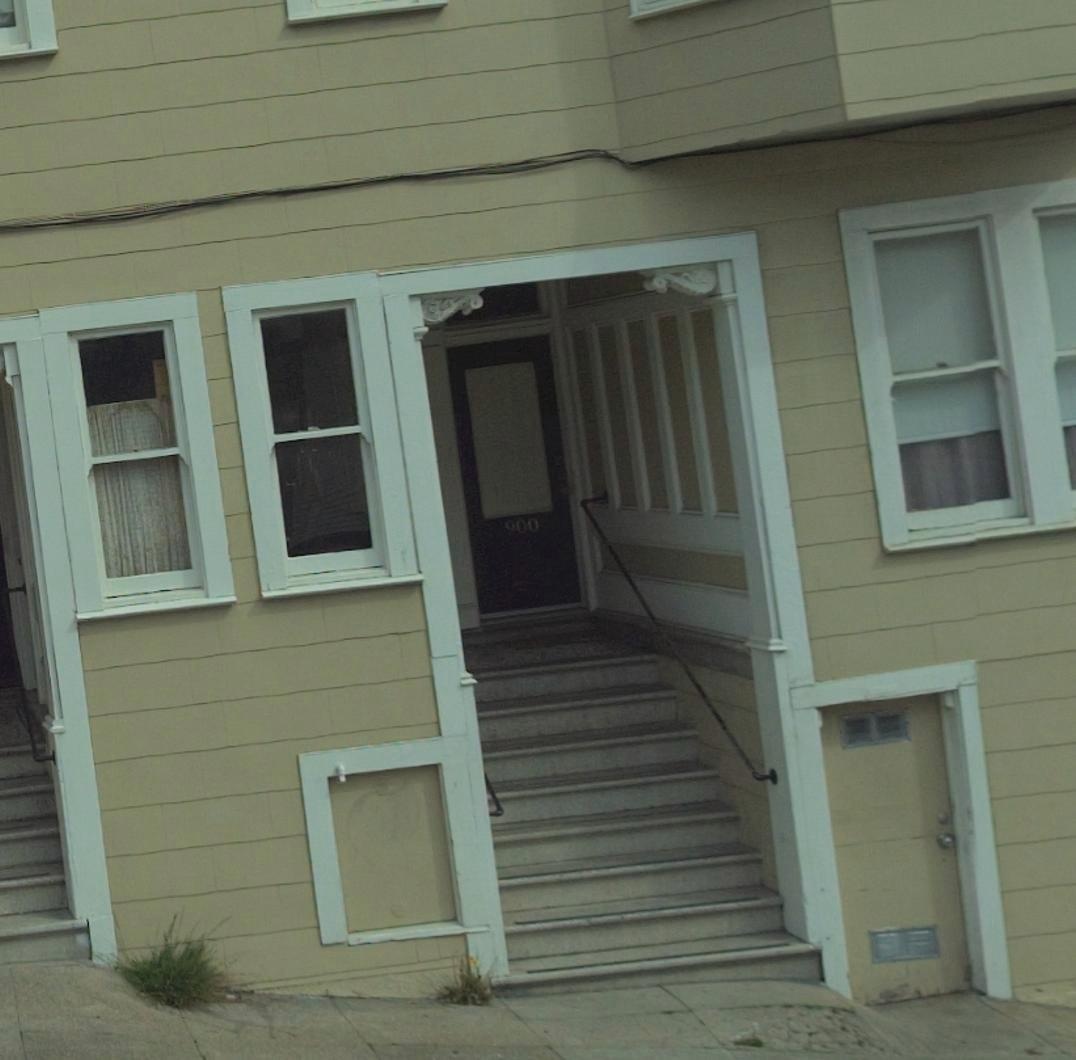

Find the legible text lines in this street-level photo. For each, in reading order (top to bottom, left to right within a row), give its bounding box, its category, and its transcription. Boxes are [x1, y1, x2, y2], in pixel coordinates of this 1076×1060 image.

[503, 515, 541, 538] StreetNumber: 900